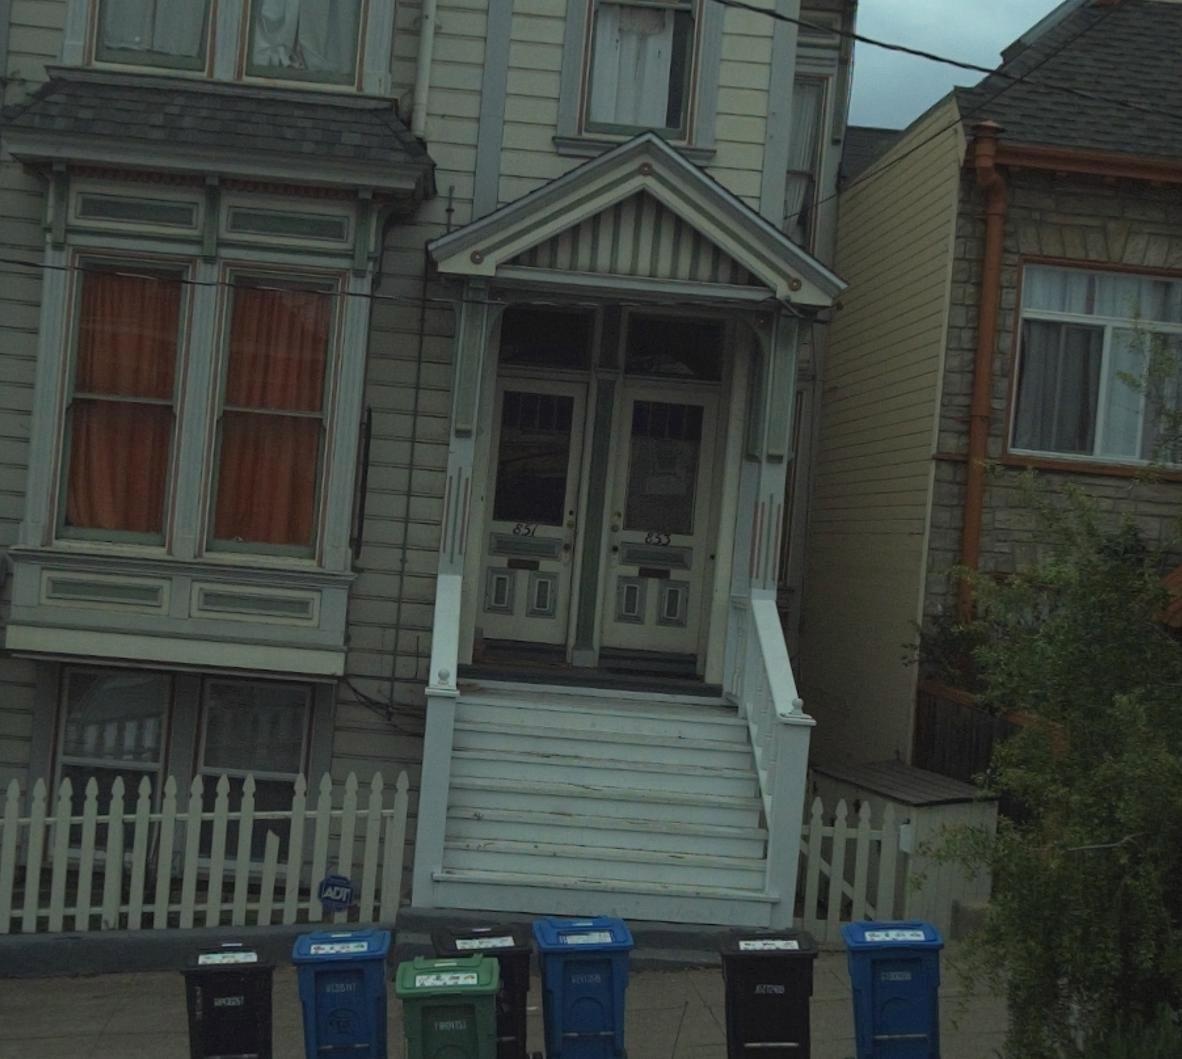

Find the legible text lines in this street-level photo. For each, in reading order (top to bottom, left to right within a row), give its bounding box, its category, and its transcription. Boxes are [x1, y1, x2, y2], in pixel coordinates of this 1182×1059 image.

[511, 523, 539, 539] StreetNumber: 851
[643, 530, 673, 547] StreetNumber: 853
[319, 885, 352, 903] None: ADT